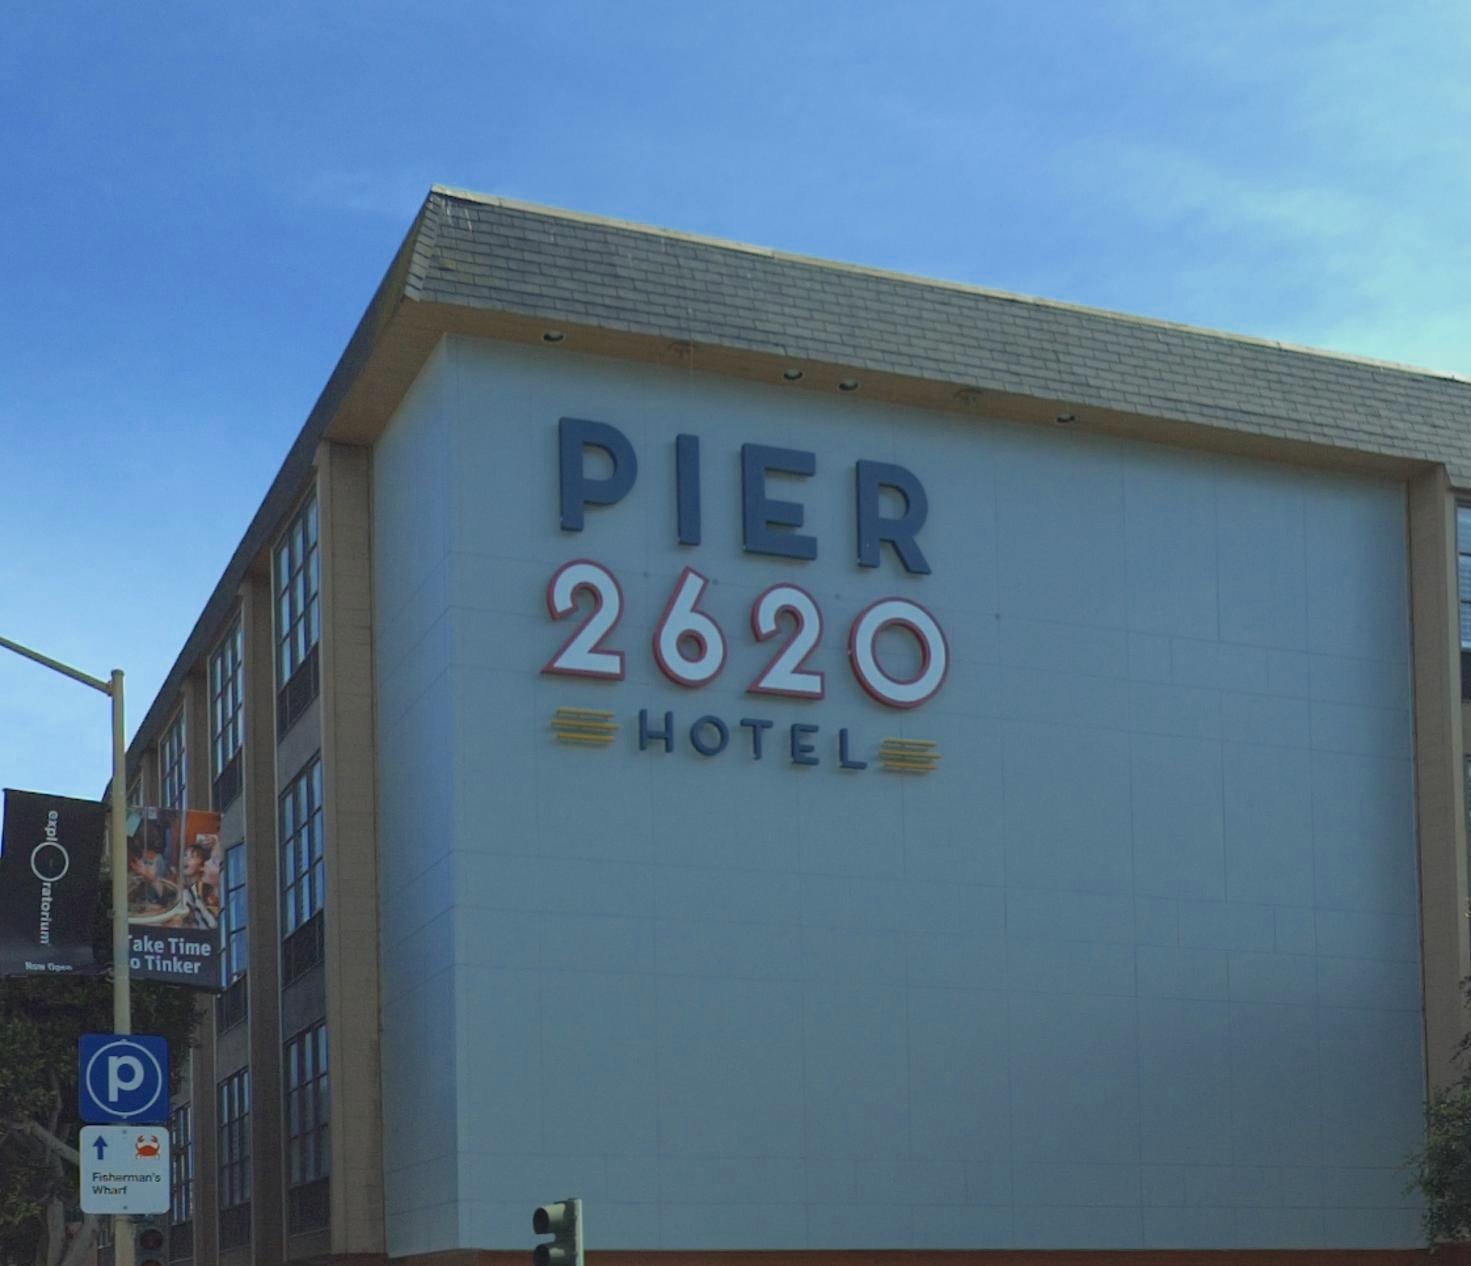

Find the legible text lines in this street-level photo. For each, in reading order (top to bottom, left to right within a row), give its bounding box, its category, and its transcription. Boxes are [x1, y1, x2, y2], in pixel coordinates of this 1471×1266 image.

[559, 416, 934, 575] BusinessName: PIER
[535, 554, 950, 707] StreetNumber: 2620
[638, 706, 867, 771] BusinessName: HOTEL
[27, 807, 72, 946] None: *xploratorium
[128, 954, 203, 975] None: o Tinker
[131, 933, 213, 957] None: ake Time
[107, 1053, 147, 1103] None: P
[89, 1184, 129, 1196] None: Wh***
[90, 1171, 162, 1184] None: Fish**man's